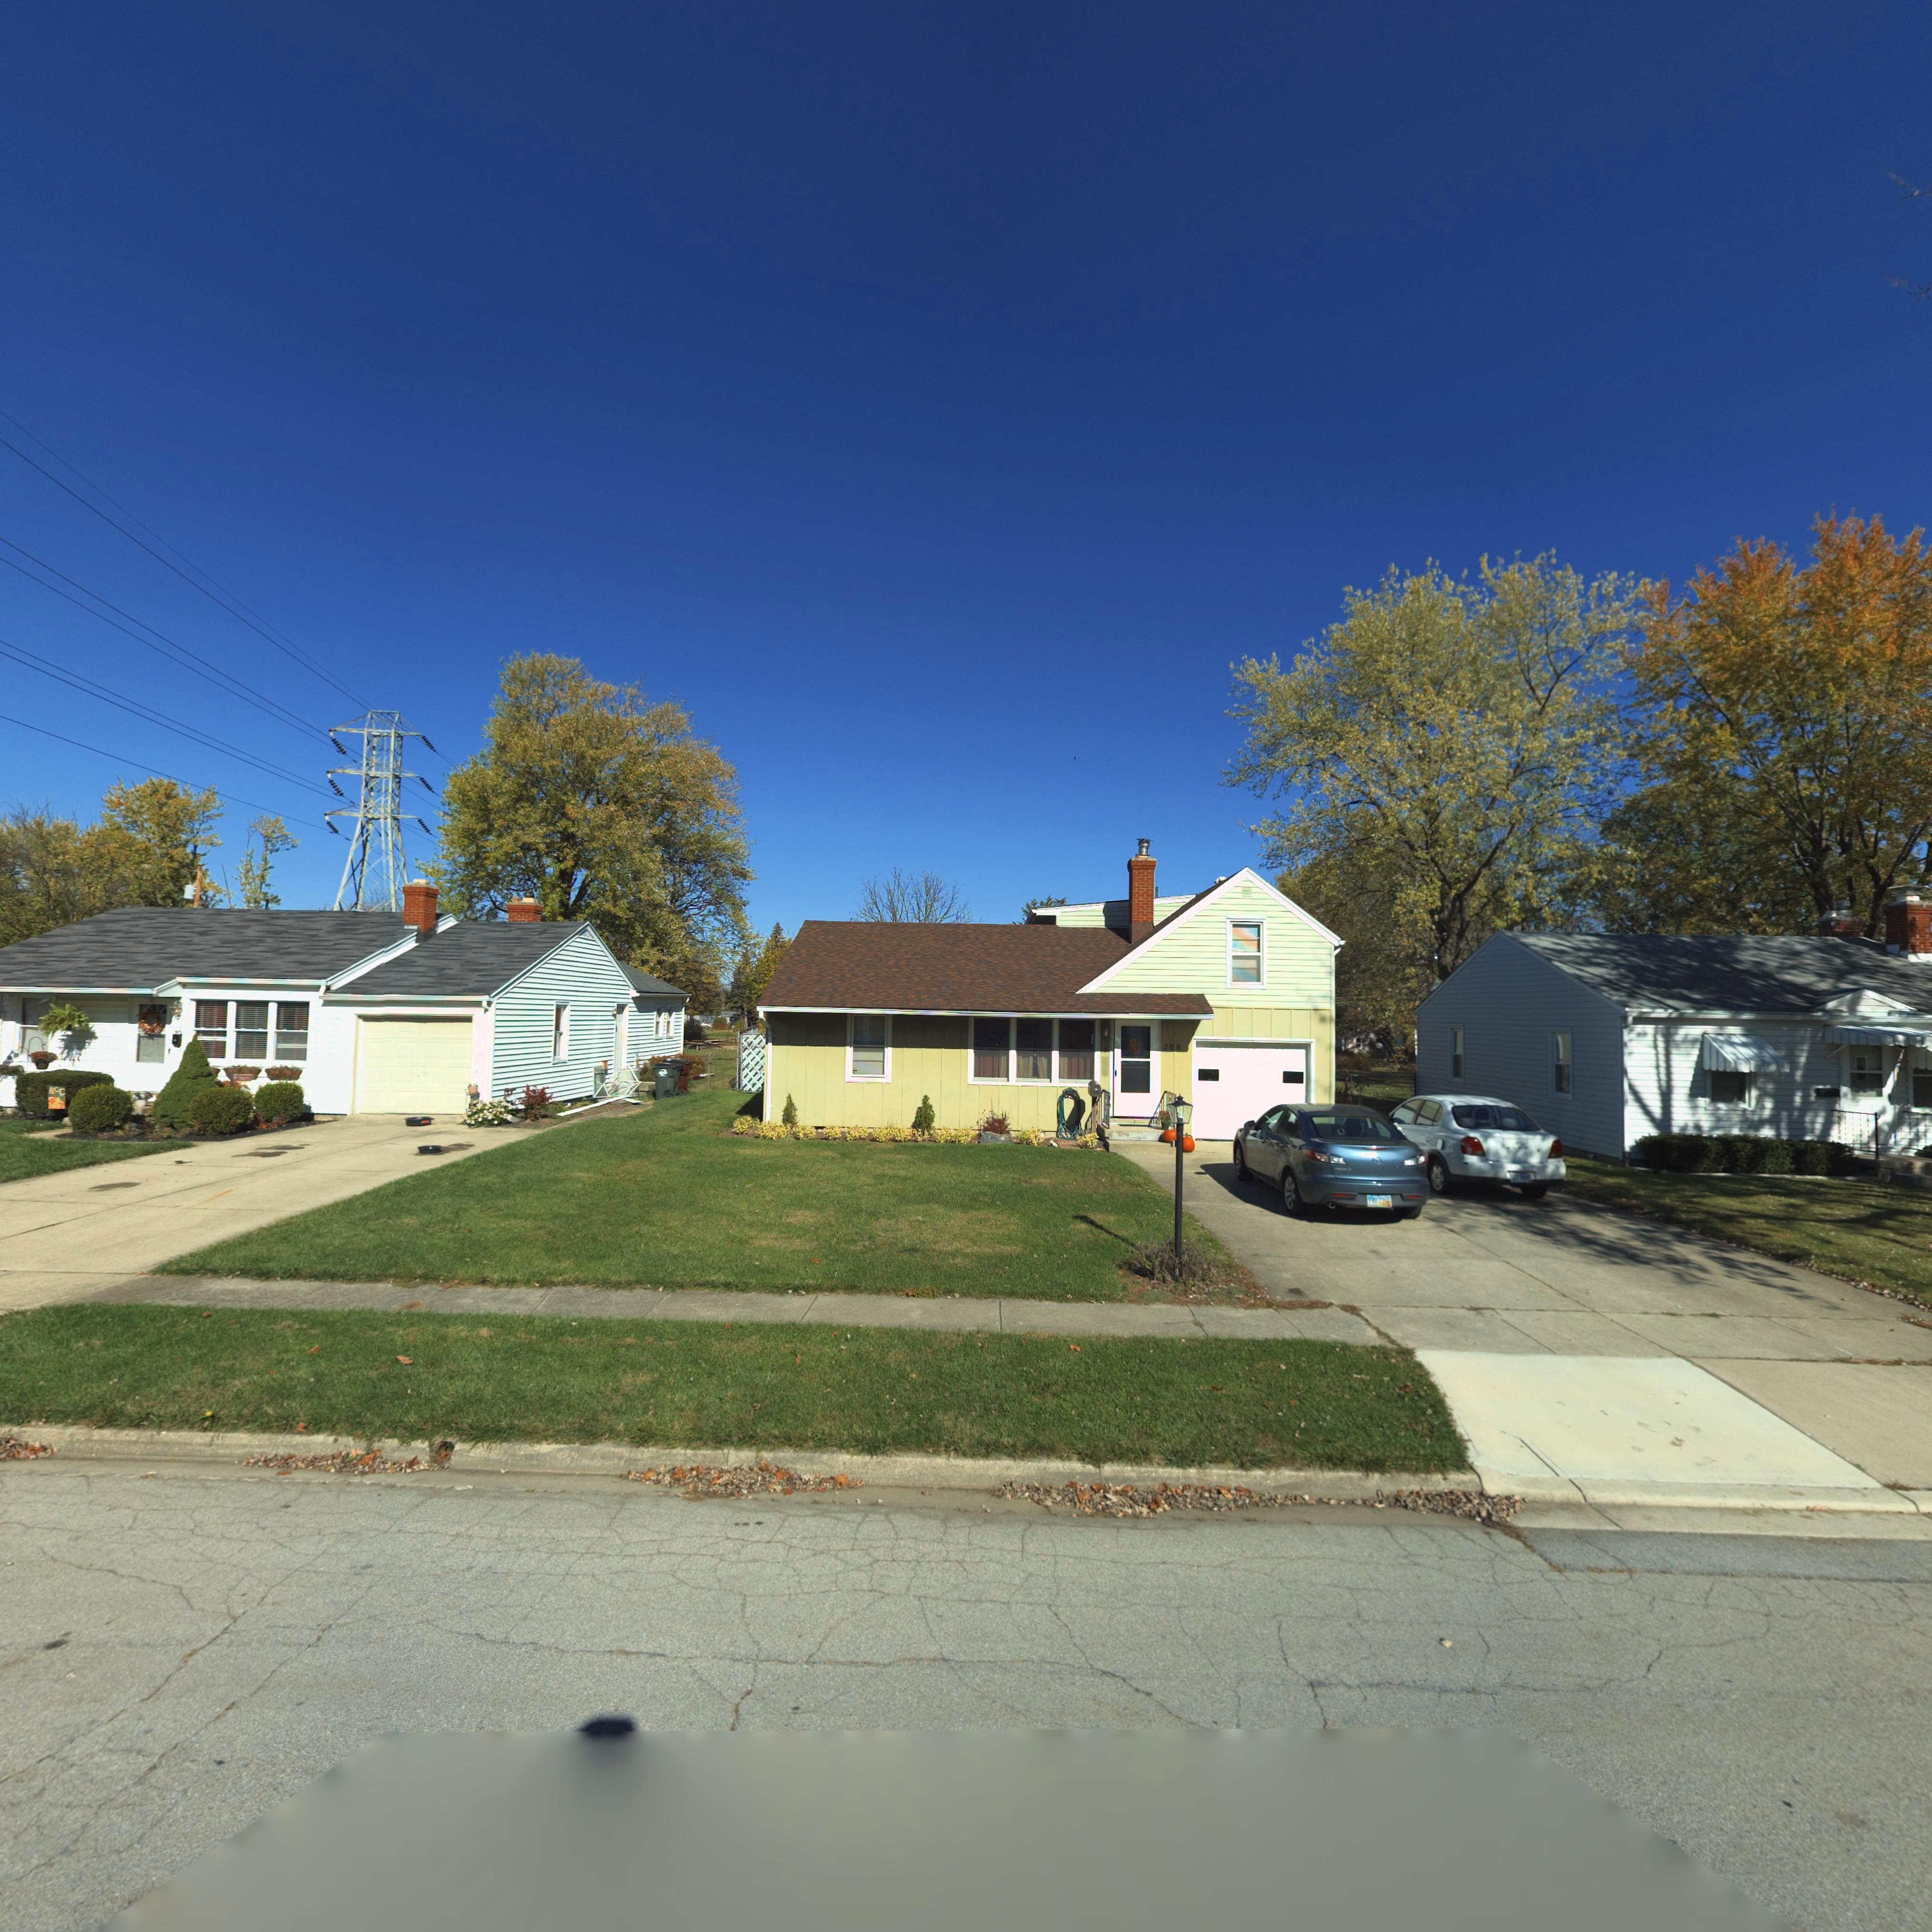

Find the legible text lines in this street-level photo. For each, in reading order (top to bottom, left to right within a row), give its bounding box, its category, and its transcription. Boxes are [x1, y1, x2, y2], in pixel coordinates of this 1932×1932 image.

[1162, 1043, 1182, 1051] StreetNumber: 208